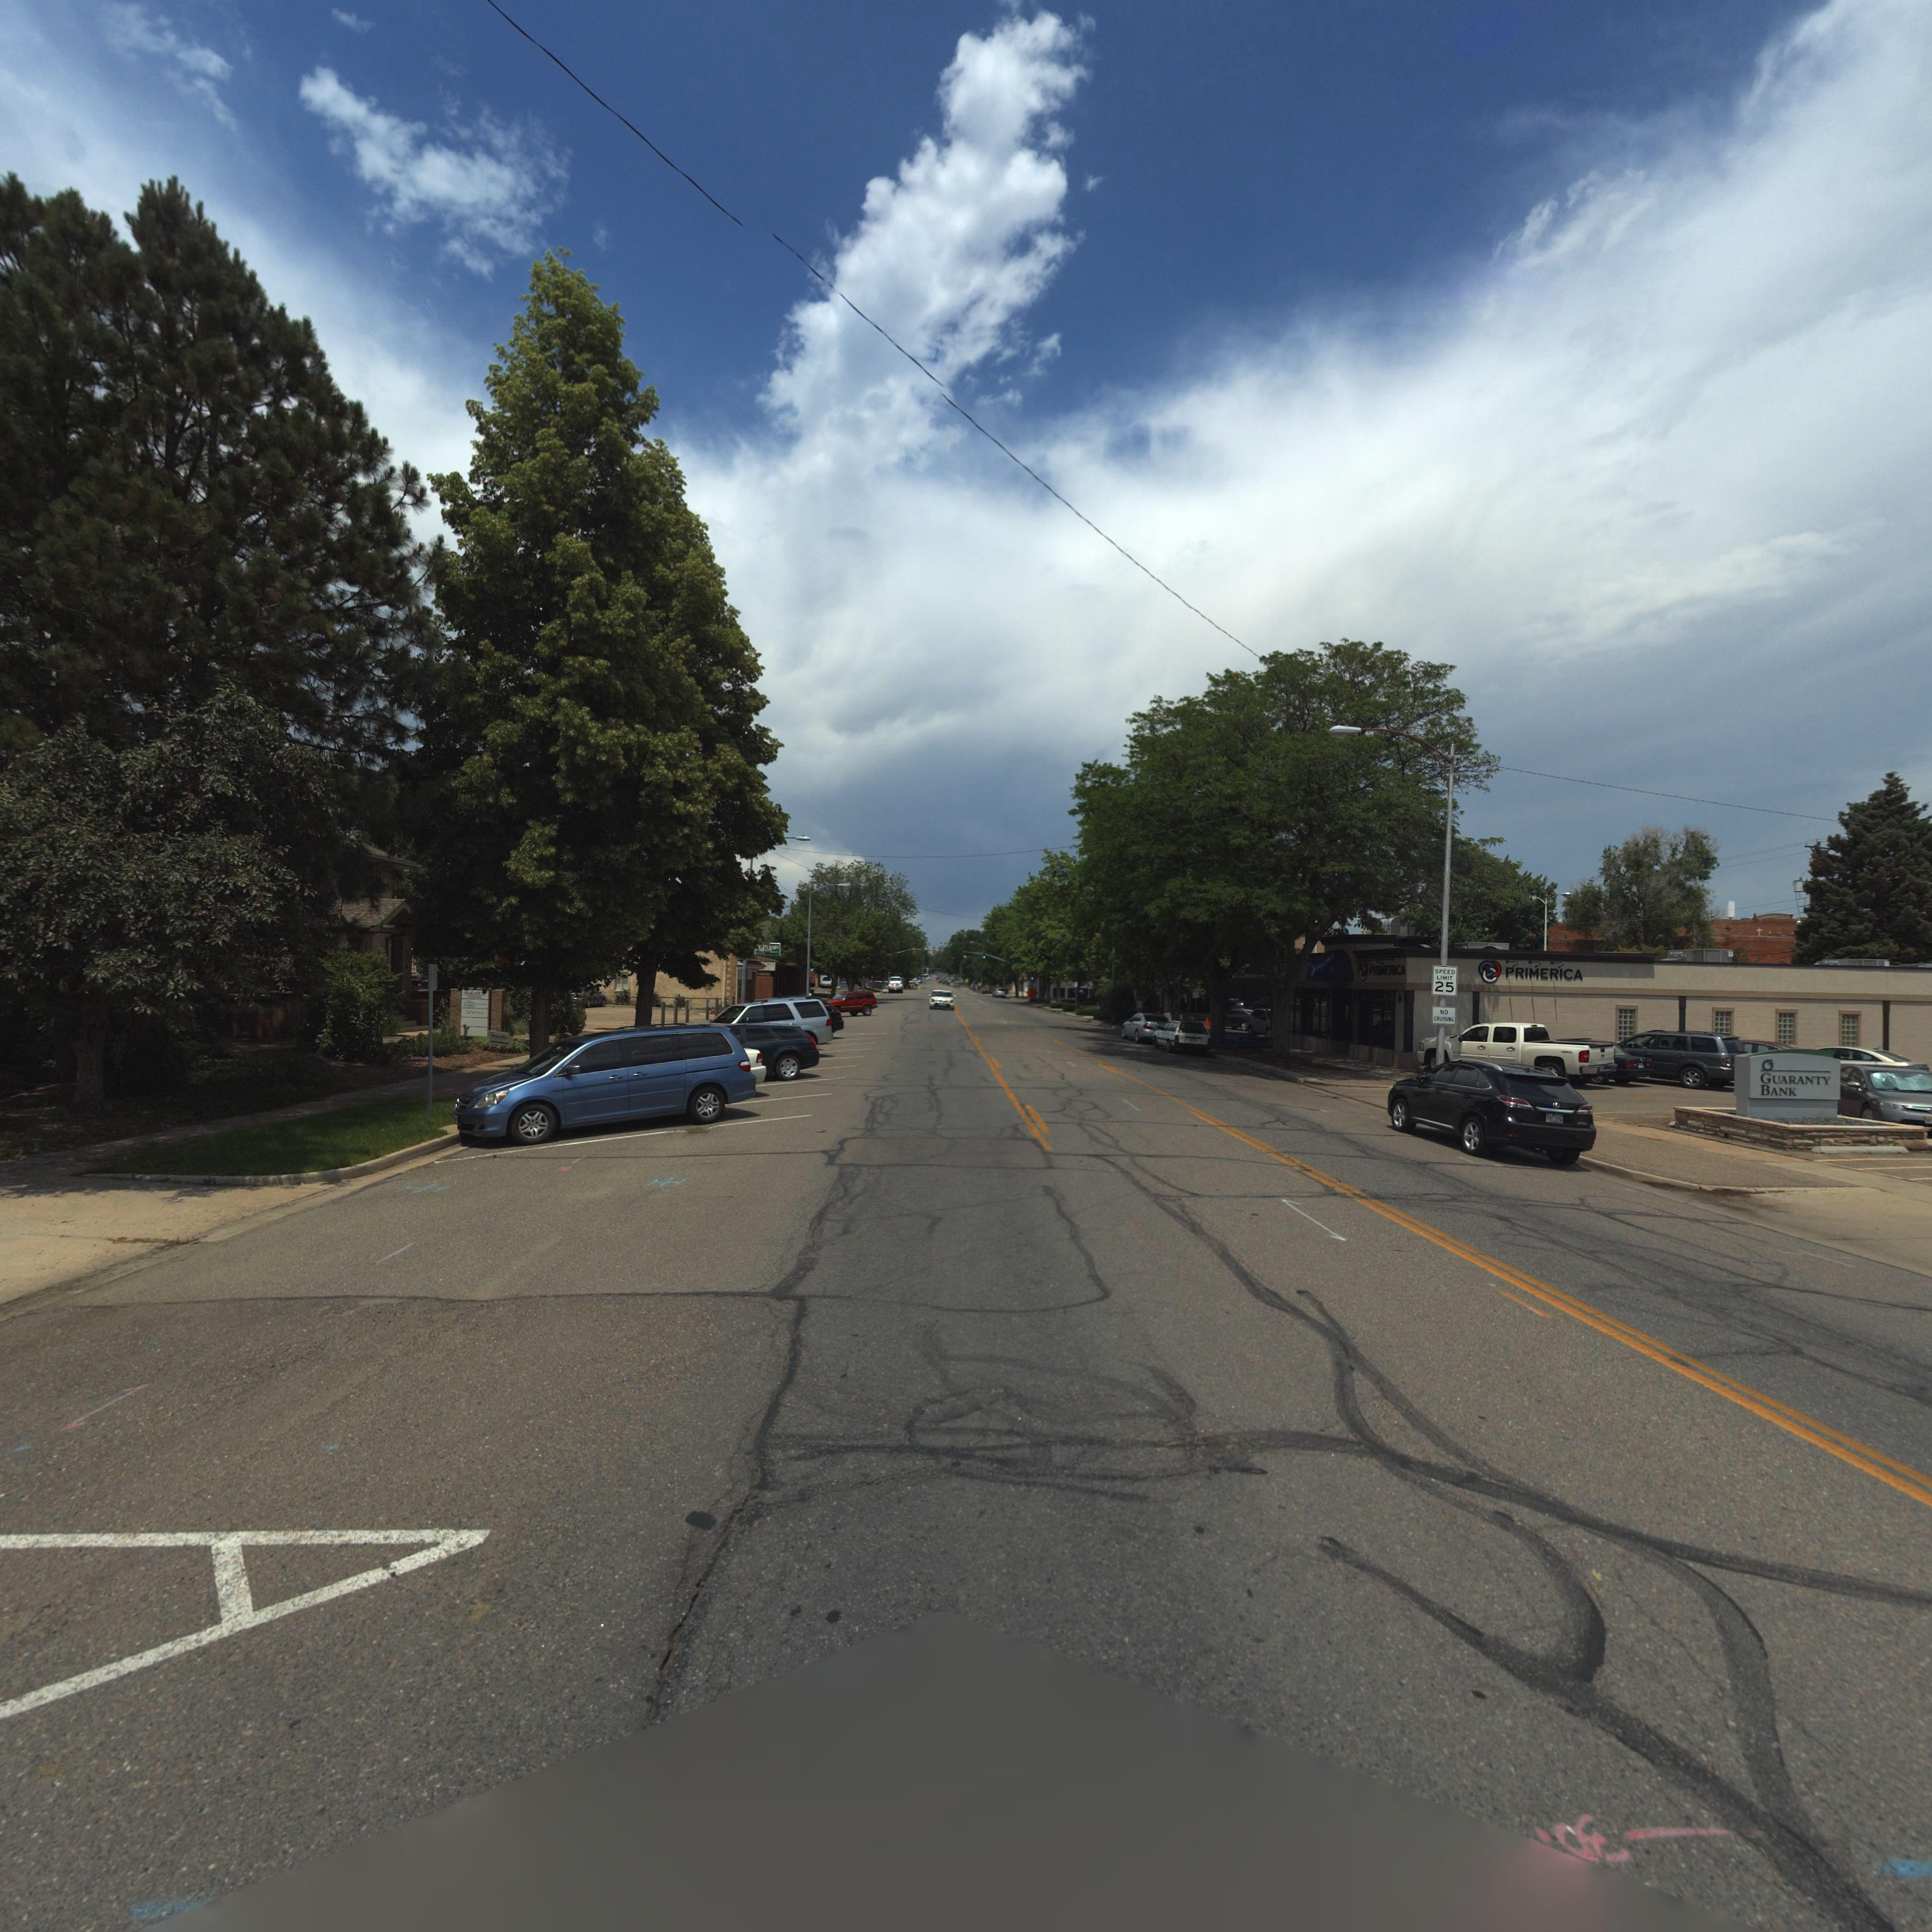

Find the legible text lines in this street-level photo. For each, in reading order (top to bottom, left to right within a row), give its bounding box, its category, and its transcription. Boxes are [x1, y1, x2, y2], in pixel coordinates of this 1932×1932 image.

[1369, 964, 1406, 976] BusinessName: PRIMERICA
[1505, 967, 1583, 980] BusinessName: PRIMERICA
[1760, 1072, 1831, 1085] BusinessName: GUARANTY
[1760, 1084, 1797, 1096] BusinessName: BANK